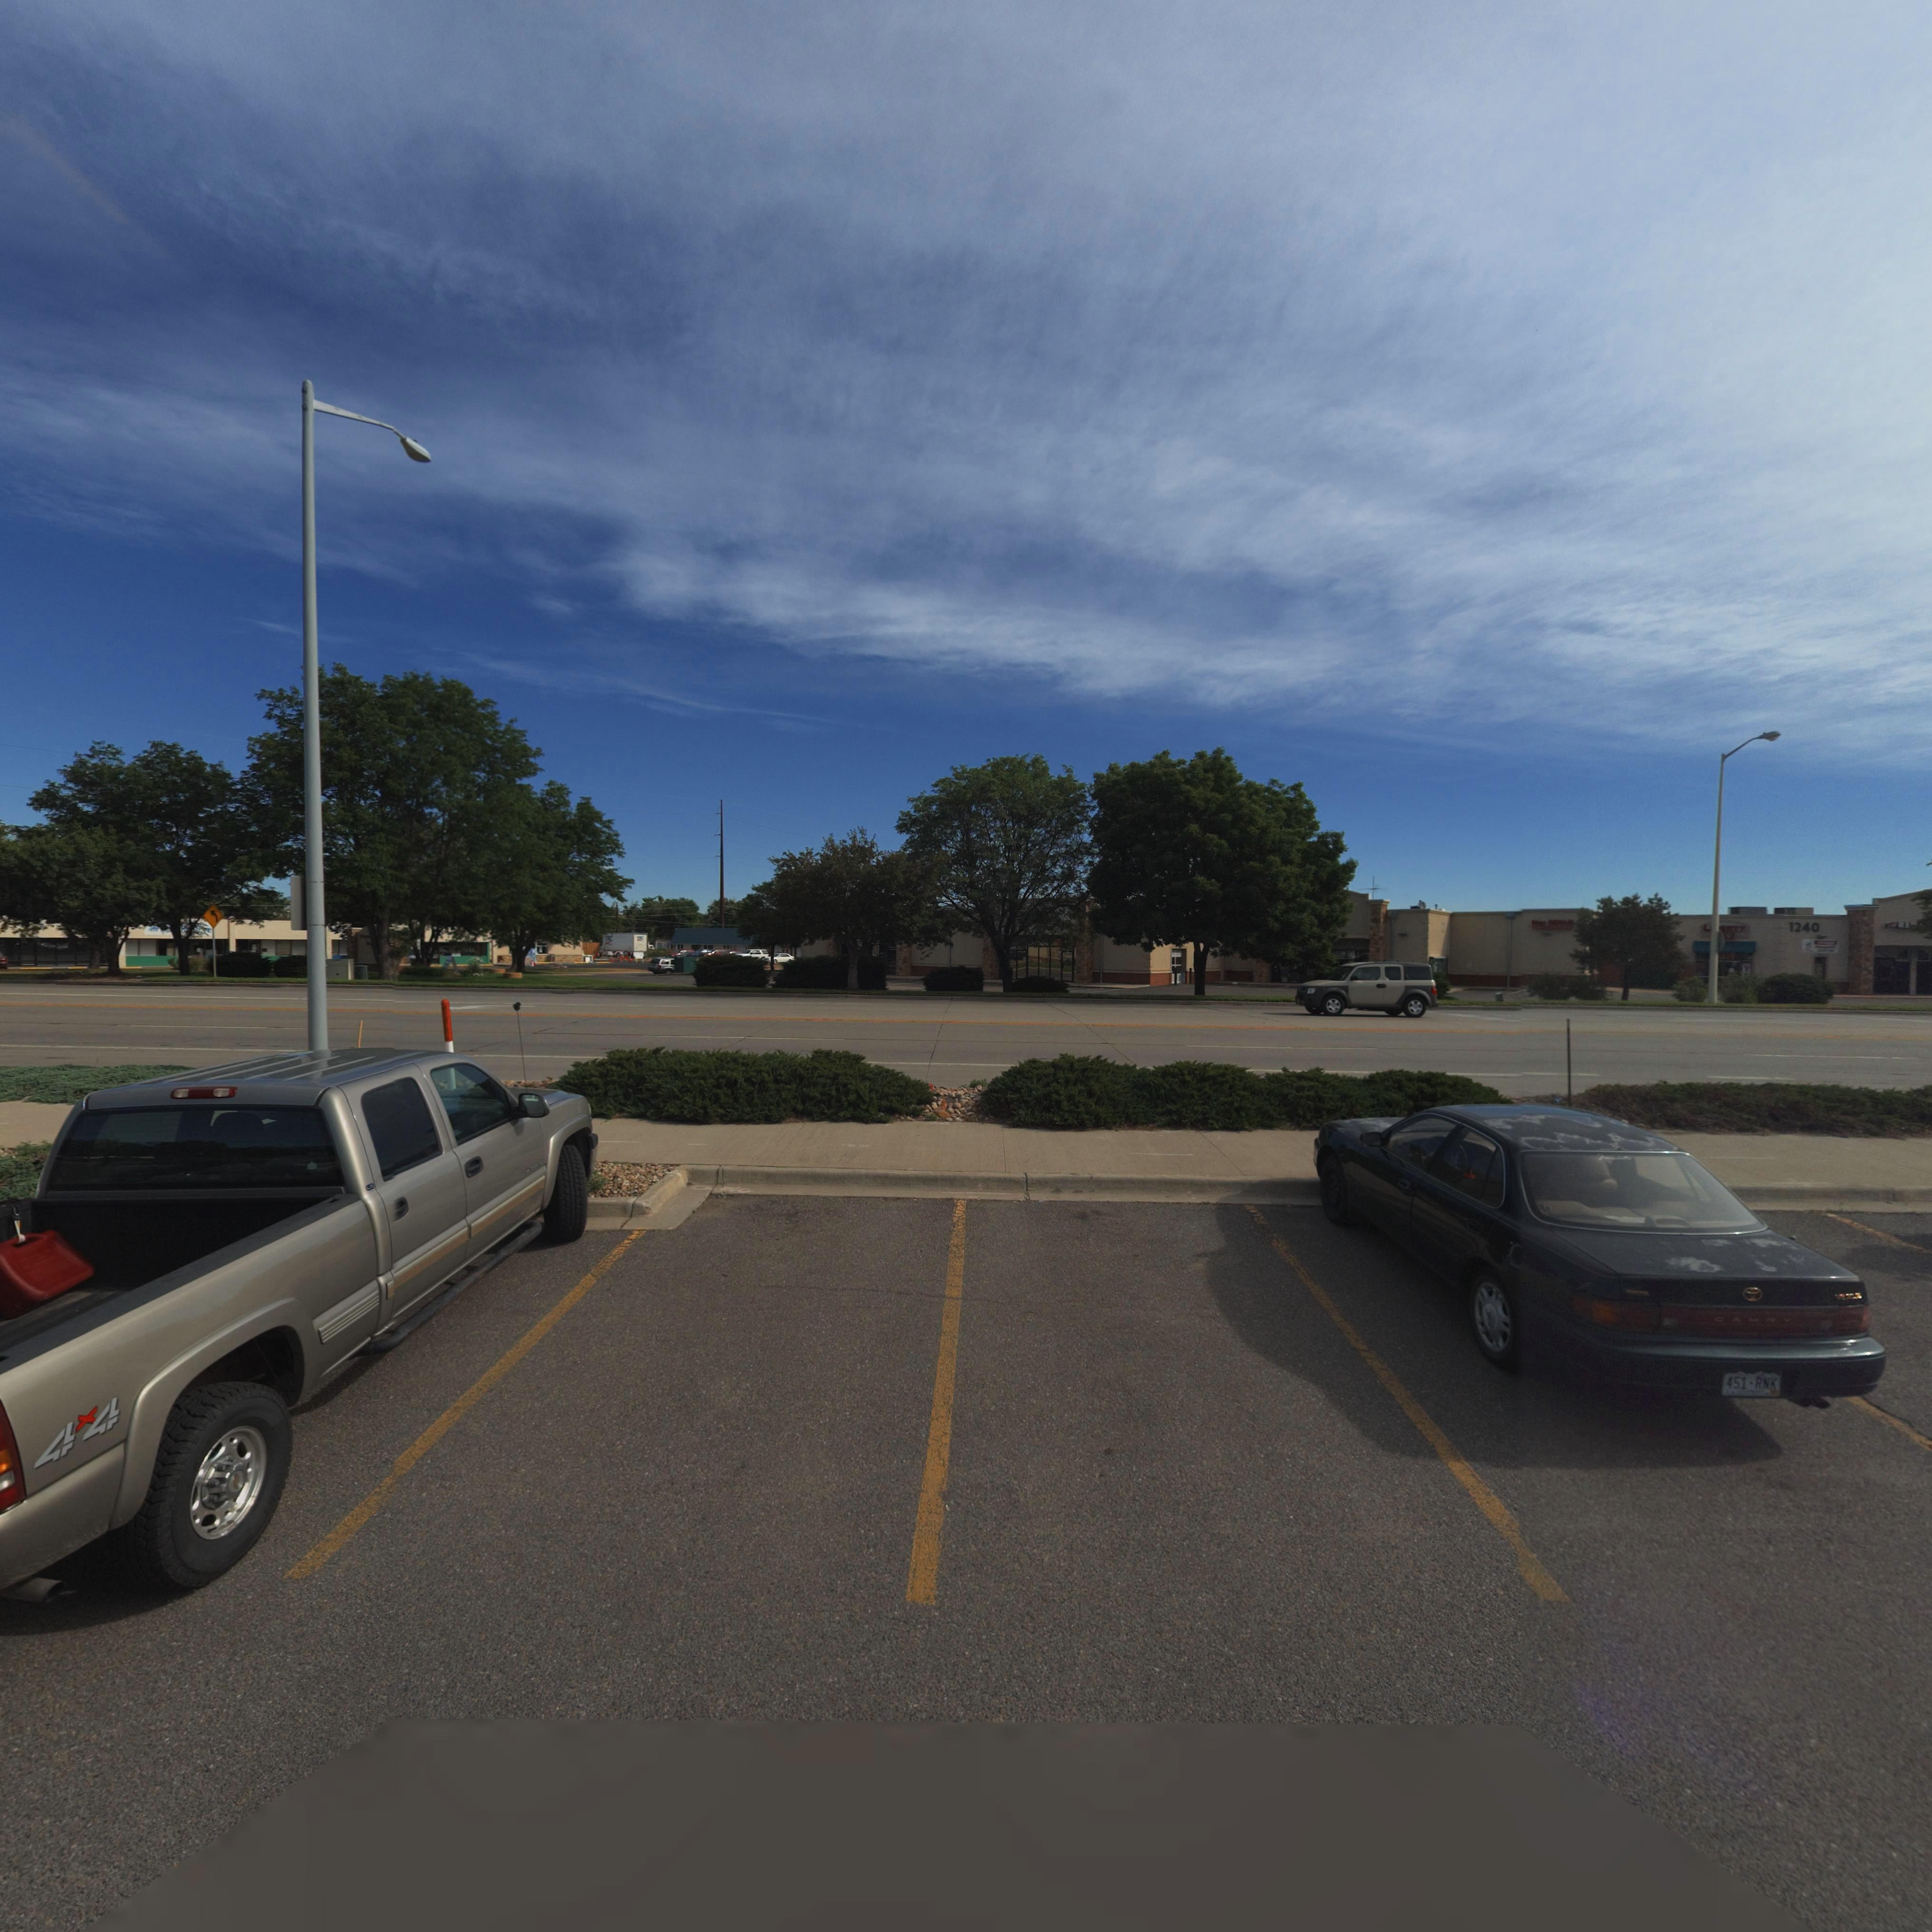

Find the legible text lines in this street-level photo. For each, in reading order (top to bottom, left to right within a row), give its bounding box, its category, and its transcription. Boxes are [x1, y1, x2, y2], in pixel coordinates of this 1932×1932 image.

[1702, 924, 1747, 932] BusinessName: L***RTY
[1788, 922, 1819, 932] StreetNumber: 1240
[1897, 921, 1917, 929] BusinessName: R**
[1723, 932, 1735, 940] BusinessName: *X
[1743, 965, 1749, 972] BusinessName: T